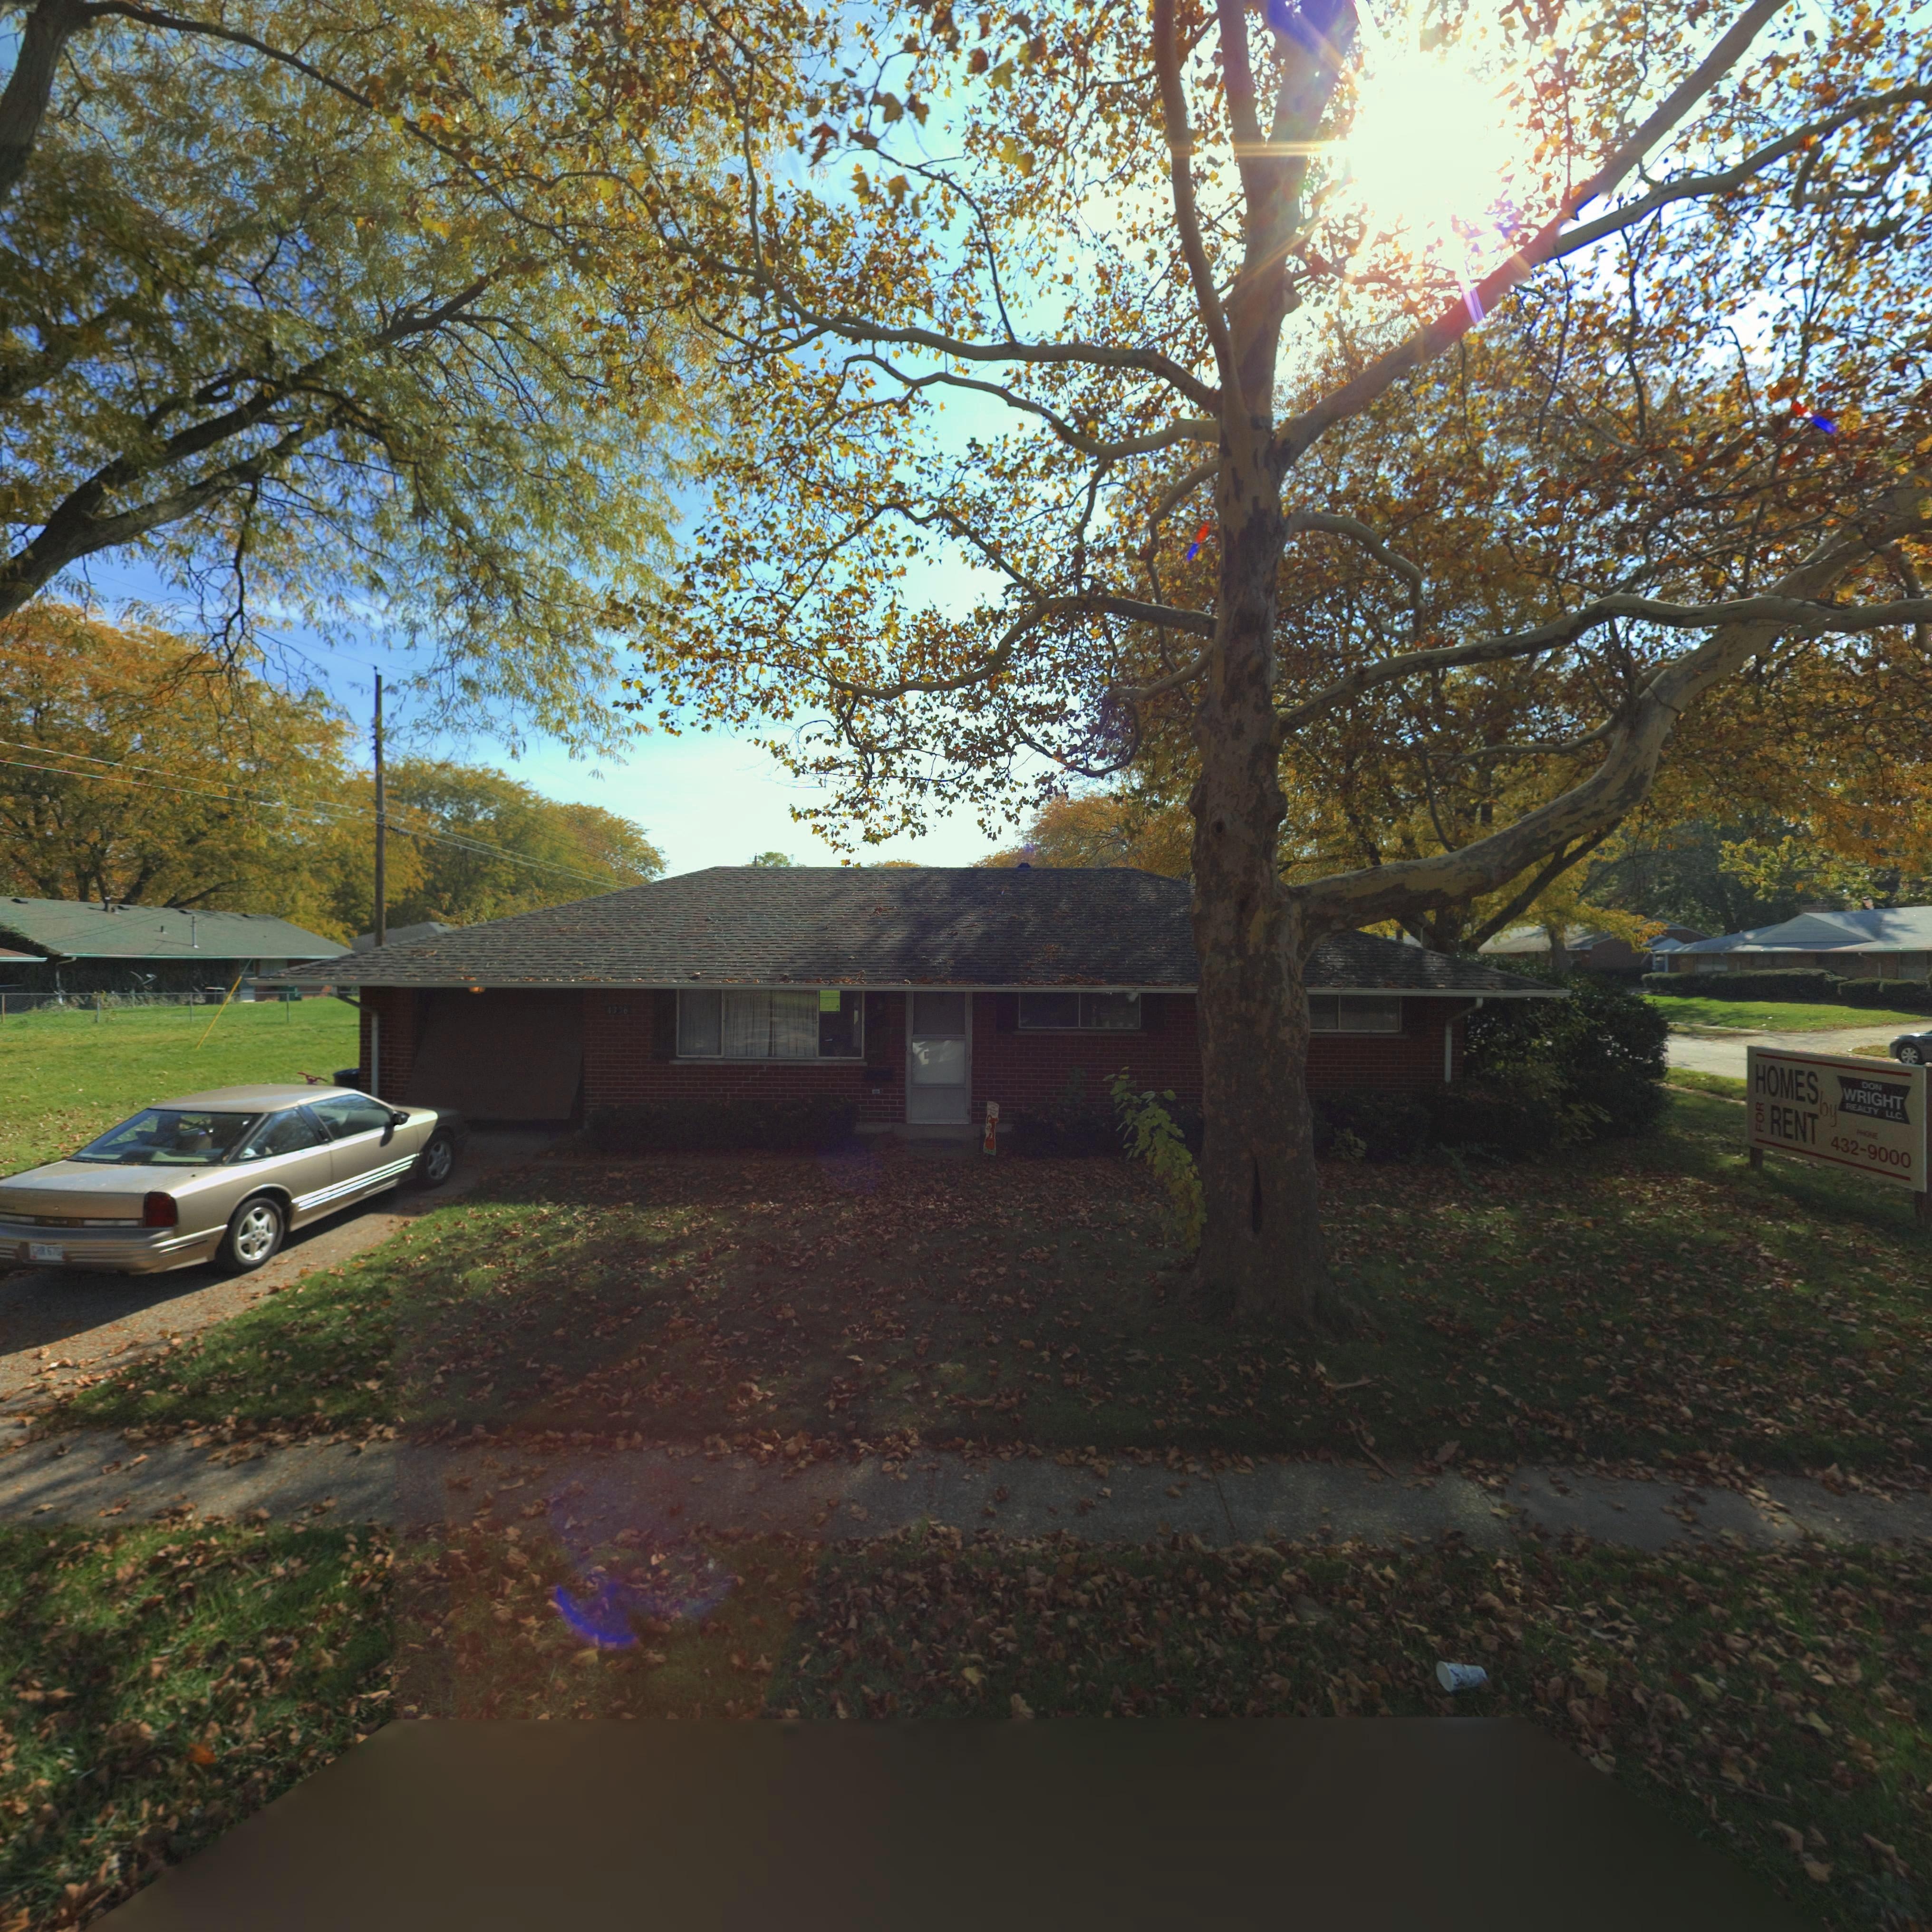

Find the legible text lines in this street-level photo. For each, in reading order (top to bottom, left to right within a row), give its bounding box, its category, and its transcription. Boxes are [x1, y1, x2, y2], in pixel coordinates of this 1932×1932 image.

[605, 1005, 629, 1015] StreetNumber: 43**